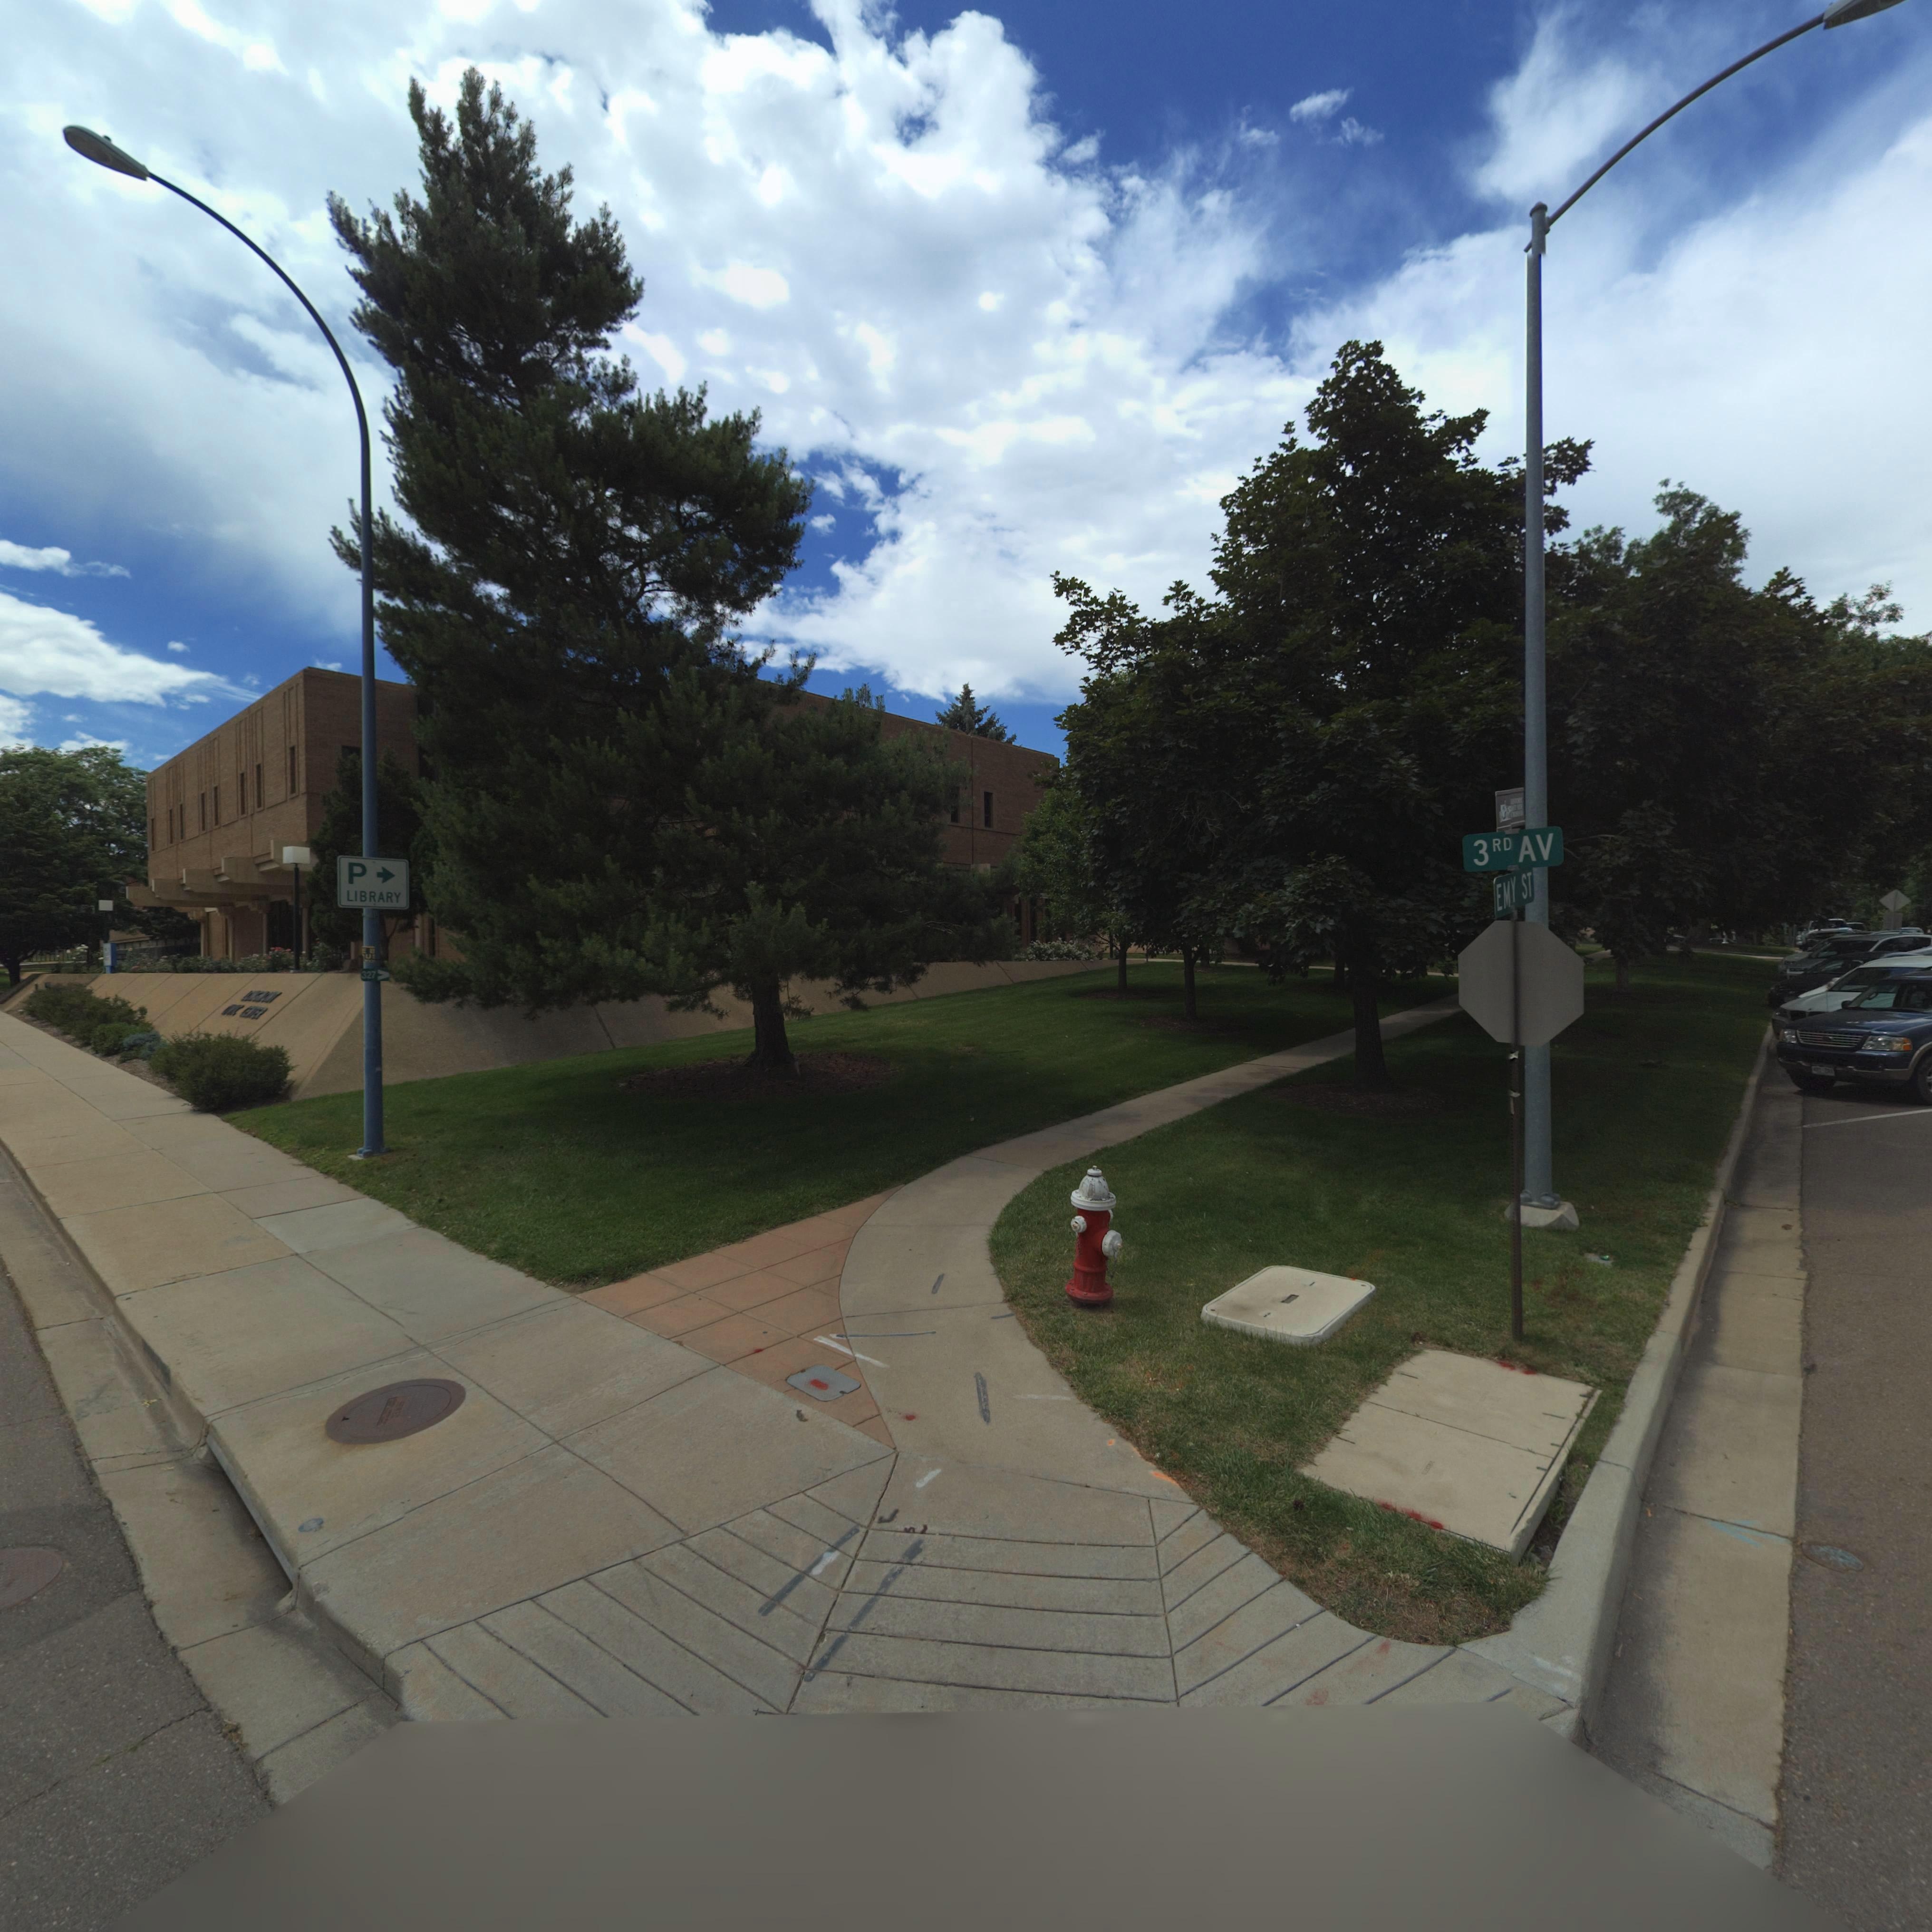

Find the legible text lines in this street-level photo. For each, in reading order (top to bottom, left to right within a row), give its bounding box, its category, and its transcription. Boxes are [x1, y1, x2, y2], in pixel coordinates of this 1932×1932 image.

[1472, 832, 1554, 867] StreetName: 3RD AV
[1495, 871, 1532, 912] StreetName: EMY ST
[221, 1004, 267, 1020] BusinessName: ***** CE**ER
[241, 991, 282, 1003] BusinessName: *******T